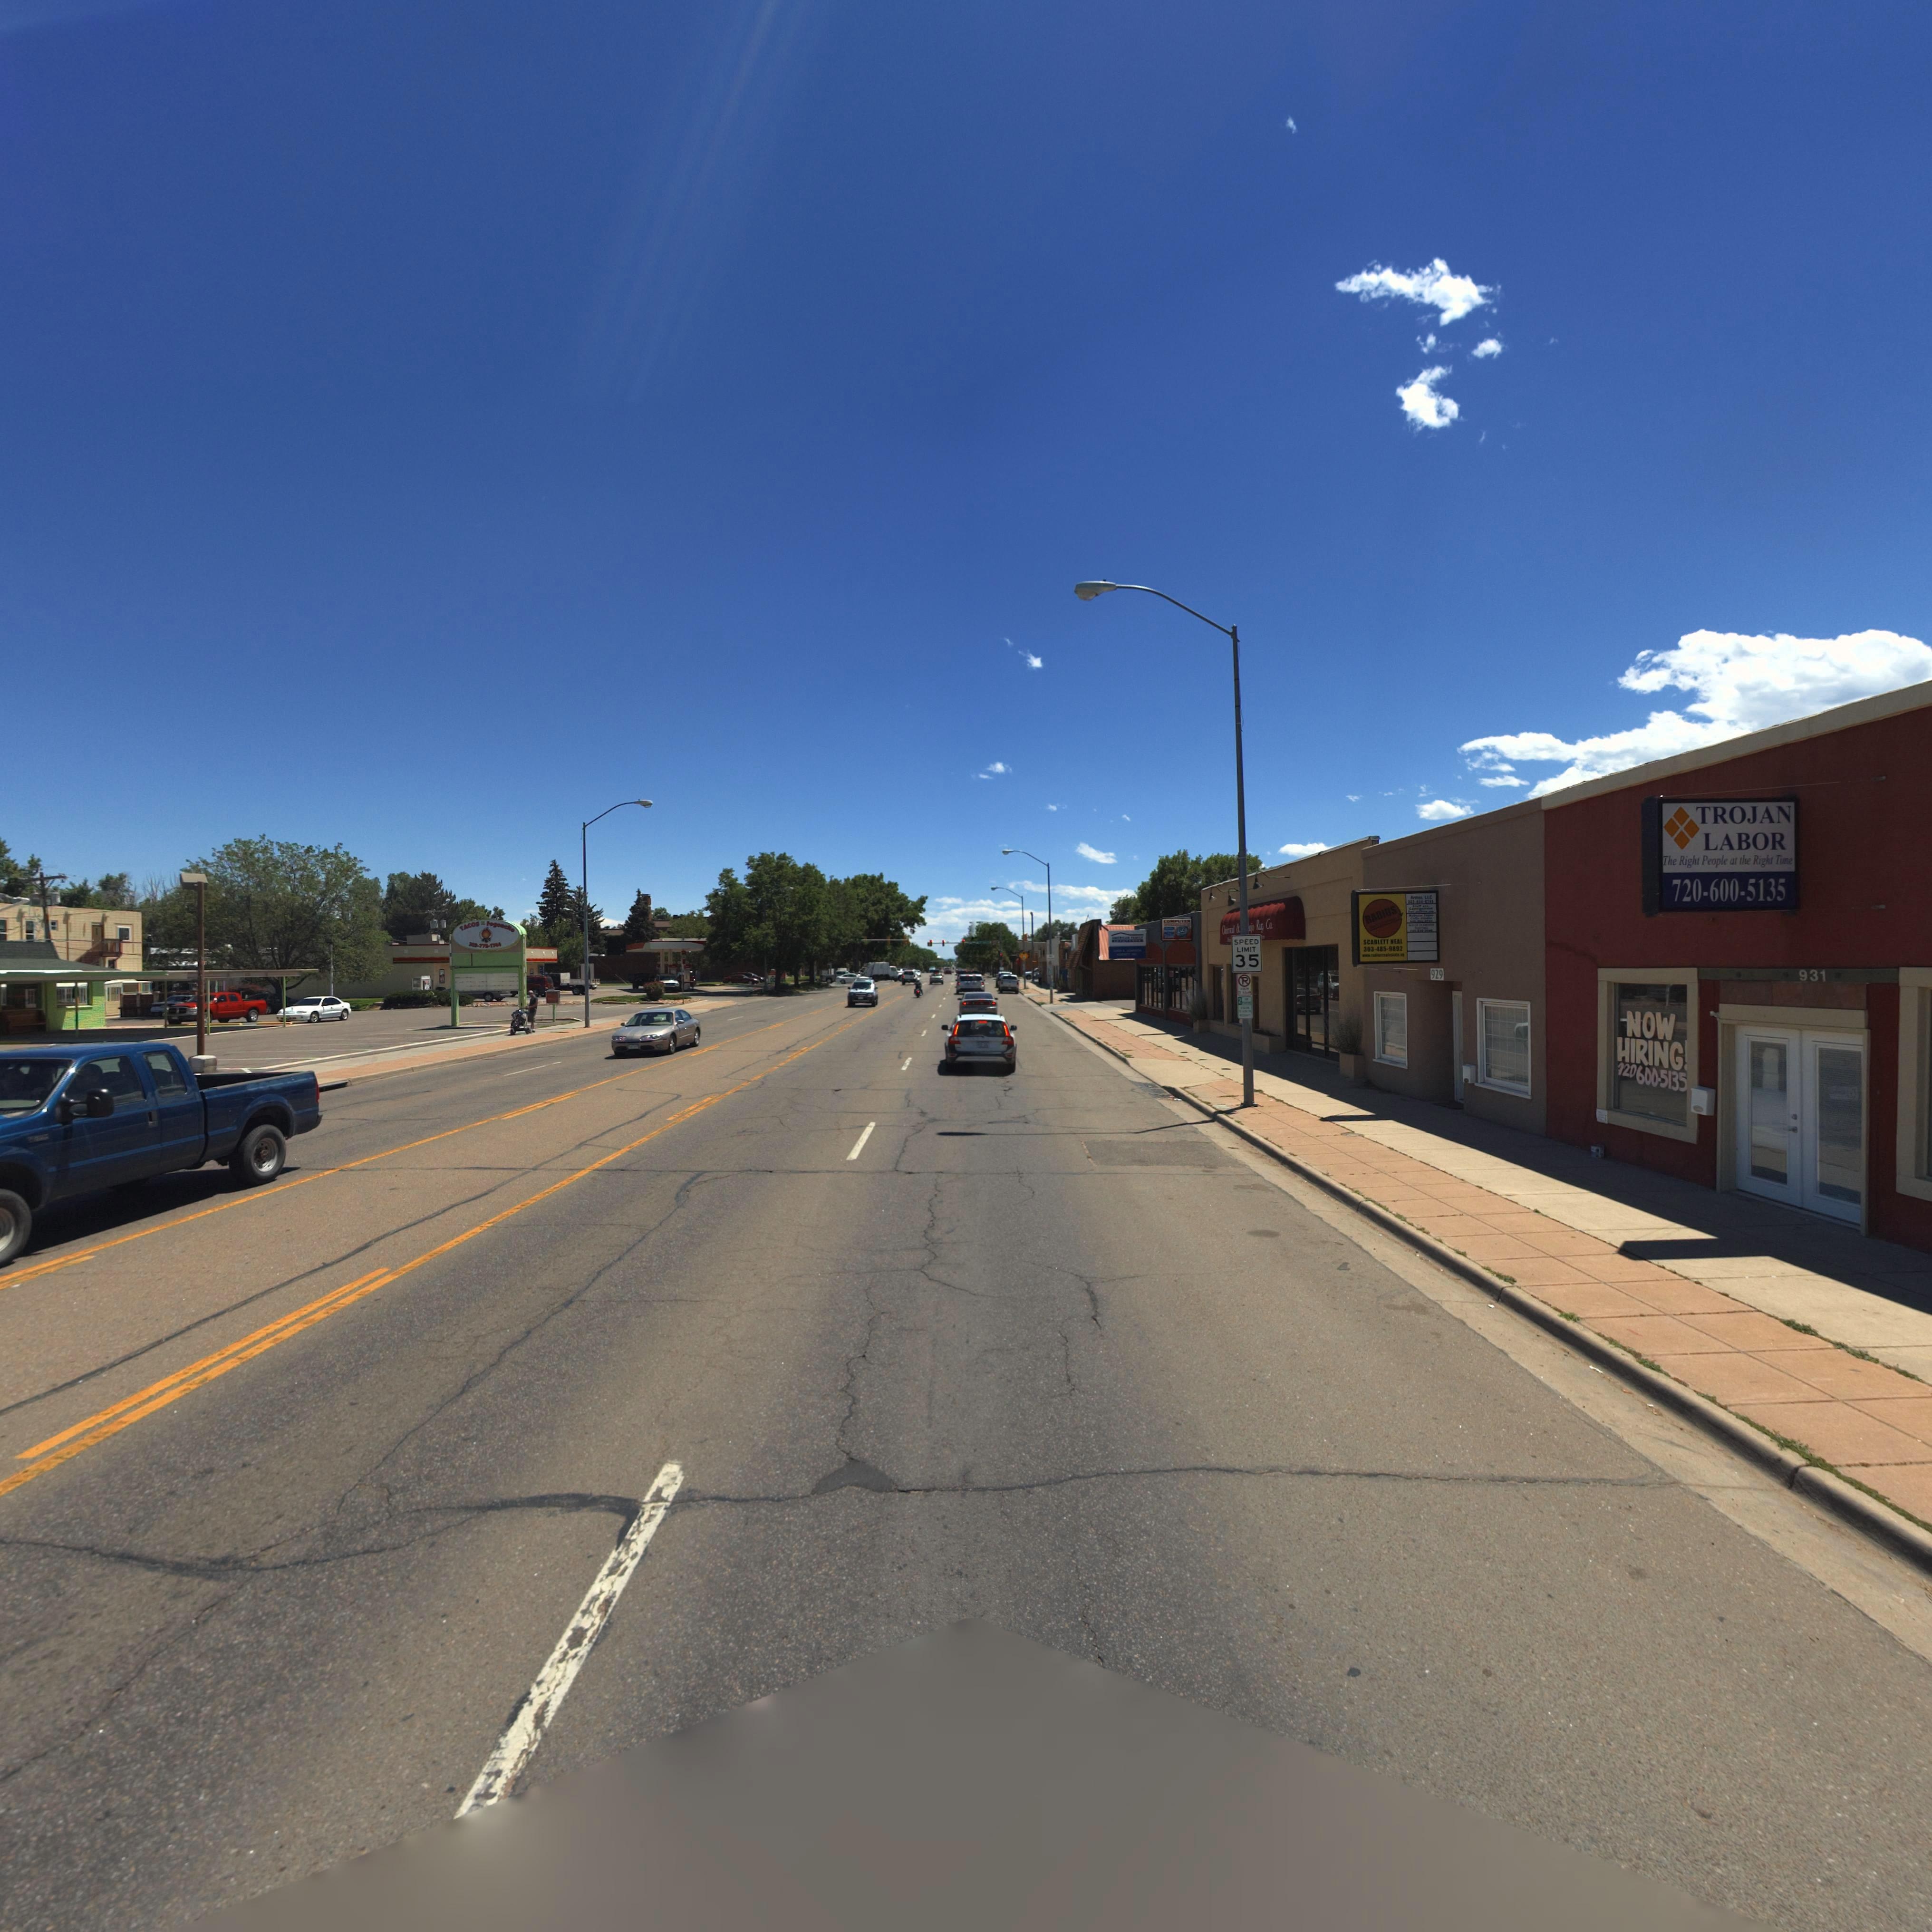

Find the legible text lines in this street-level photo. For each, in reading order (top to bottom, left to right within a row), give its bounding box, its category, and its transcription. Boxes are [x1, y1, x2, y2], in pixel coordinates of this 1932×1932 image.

[1695, 805, 1791, 824] BusinessName: TROJAN
[1701, 831, 1787, 851] BusinessName: LABOR
[1410, 895, 1432, 899] BusinessName: Armor, LLC
[1412, 904, 1429, 908] BusinessName: Staff etc.
[1409, 907, 1433, 910] BusinessName: Consignment
[1364, 905, 1397, 925] BusinessName: RADIUS
[1410, 916, 1432, 920] BusinessName: Cello Studio
[459, 920, 515, 932] BusinessName: TACOS * Fogoncito
[1222, 918, 1273, 935] BusinessName: Oriental & ***ajo Rug Co.
[1113, 939, 1140, 942] BusinessName: INSURANCE
[1111, 936, 1143, 939] BusinessName: AMERICAN FAMILY
[1431, 969, 1443, 979] StreetNumber: 929
[1798, 968, 1826, 982] StreetNumber: 931